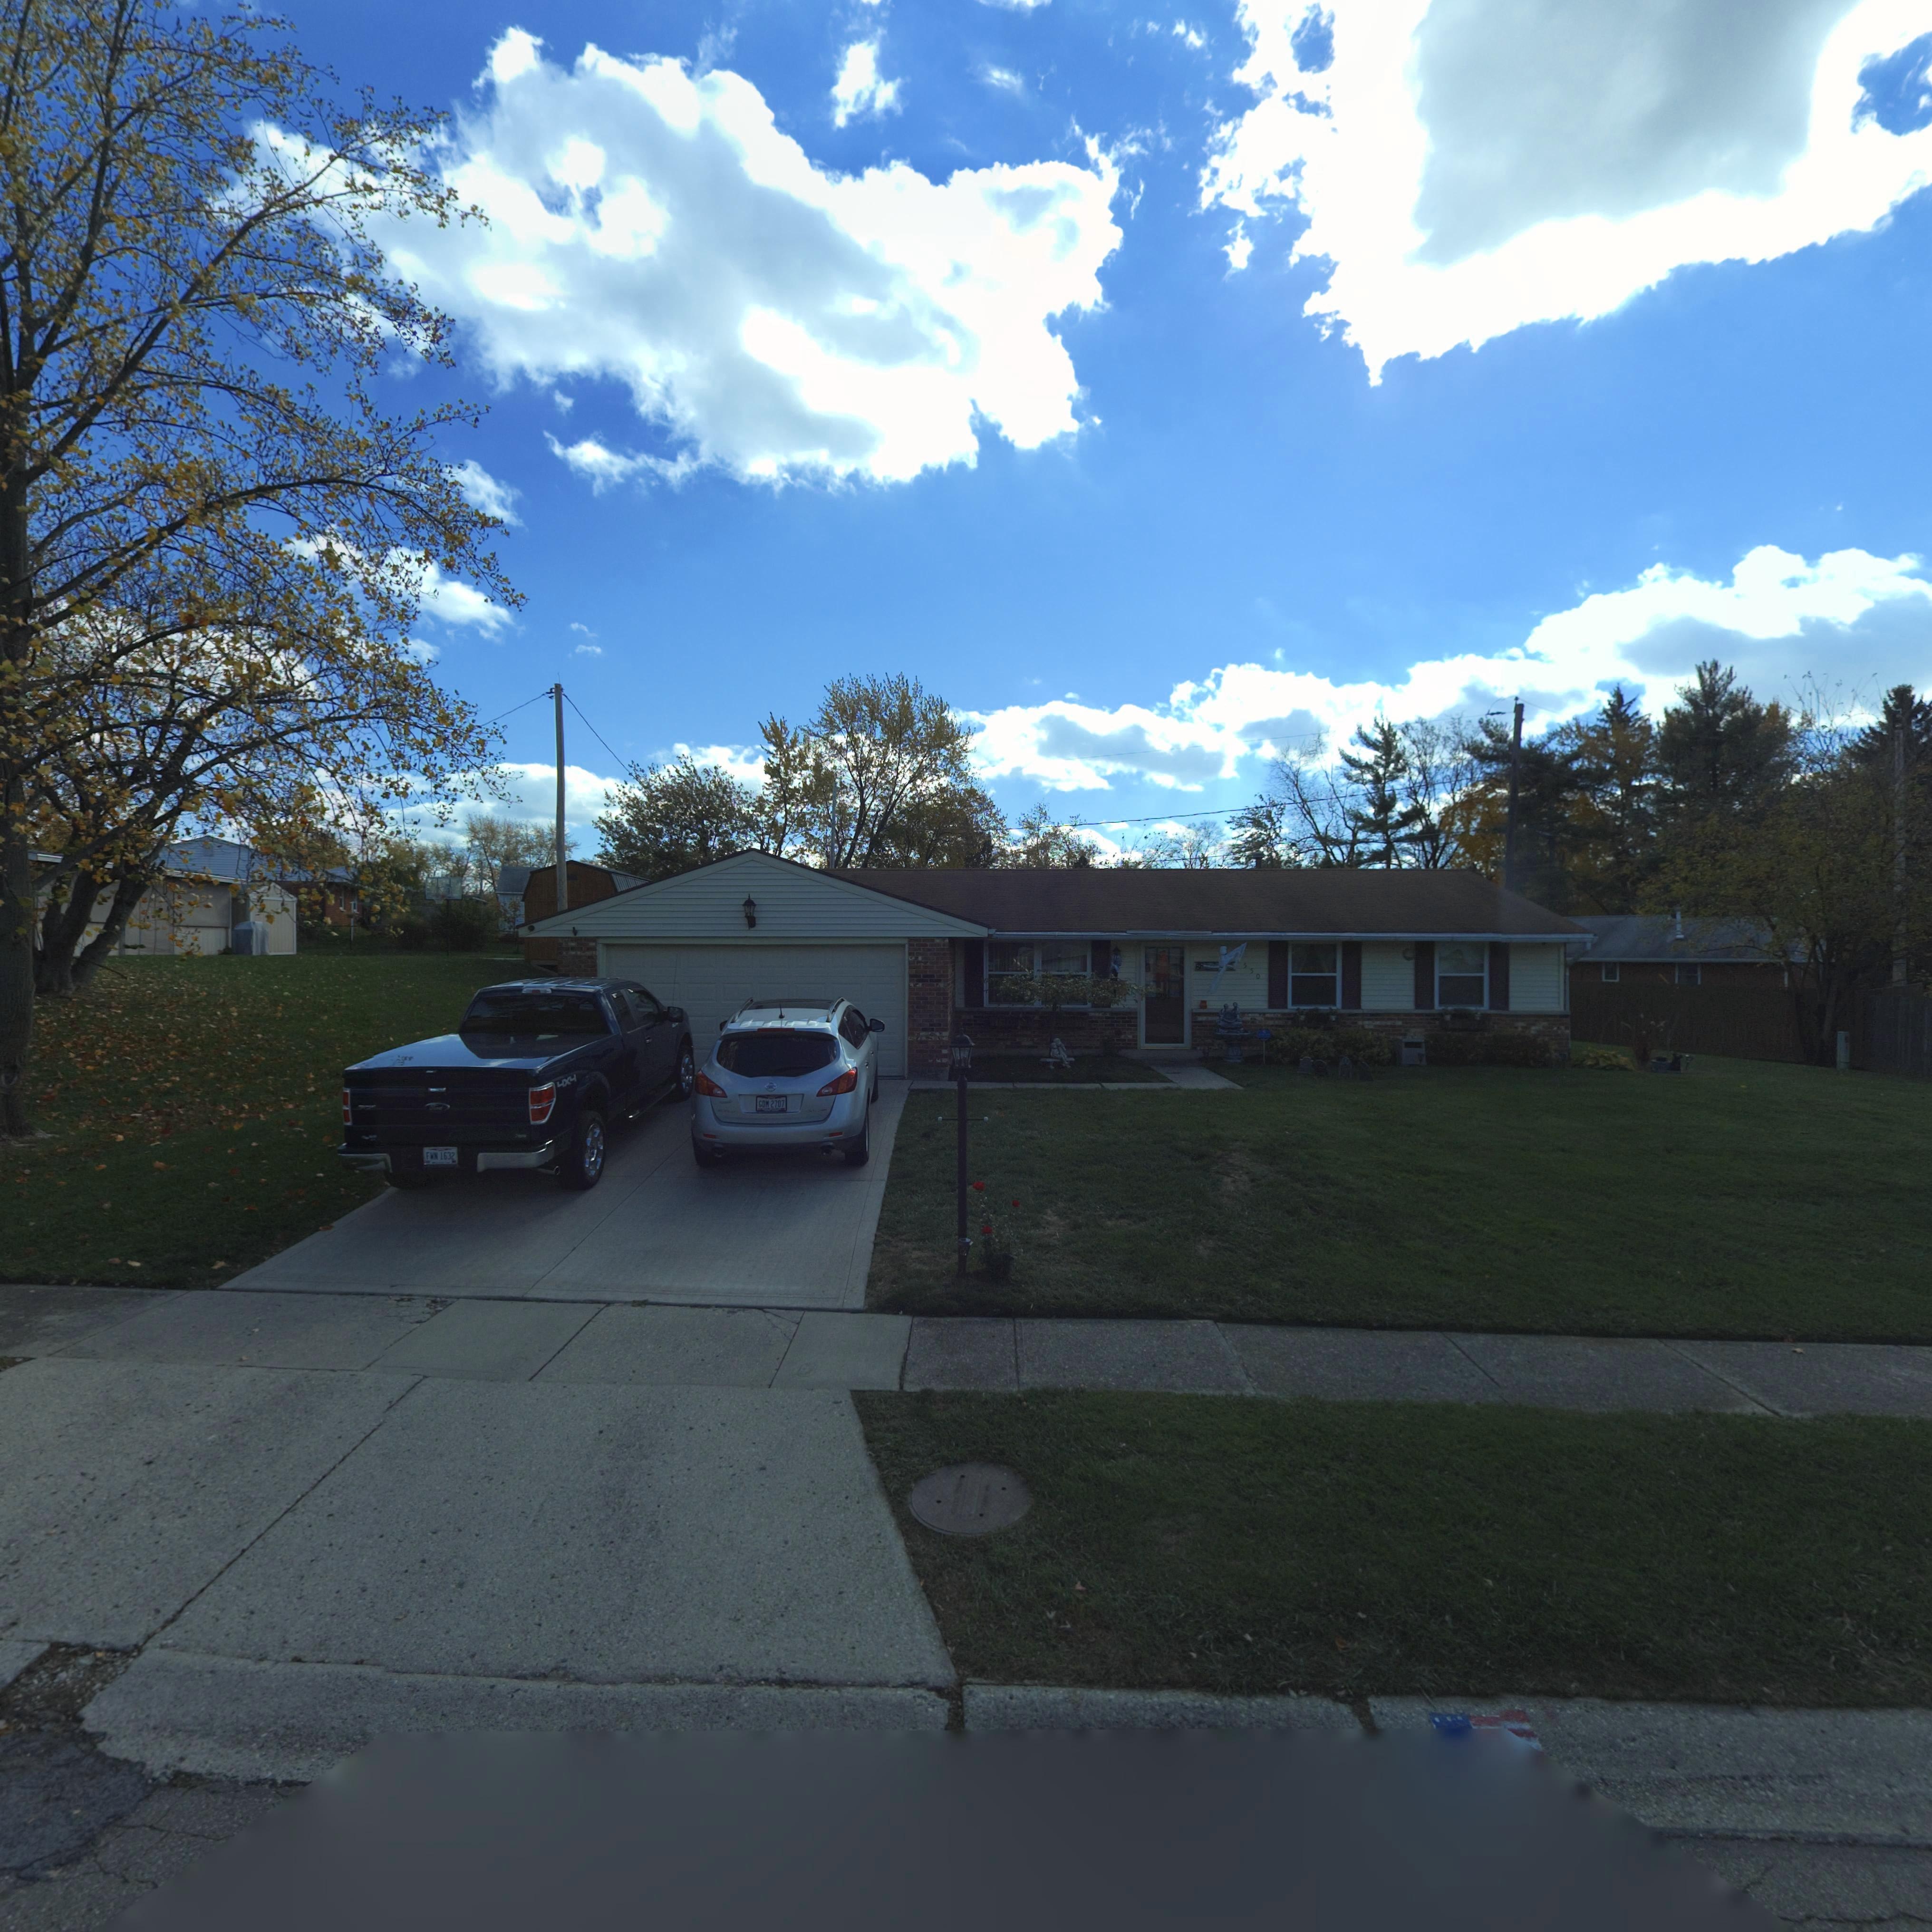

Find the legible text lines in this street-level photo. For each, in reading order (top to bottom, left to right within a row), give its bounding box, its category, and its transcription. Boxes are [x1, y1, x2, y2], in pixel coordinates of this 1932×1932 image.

[1242, 962, 1261, 980] StreetNumber: 550